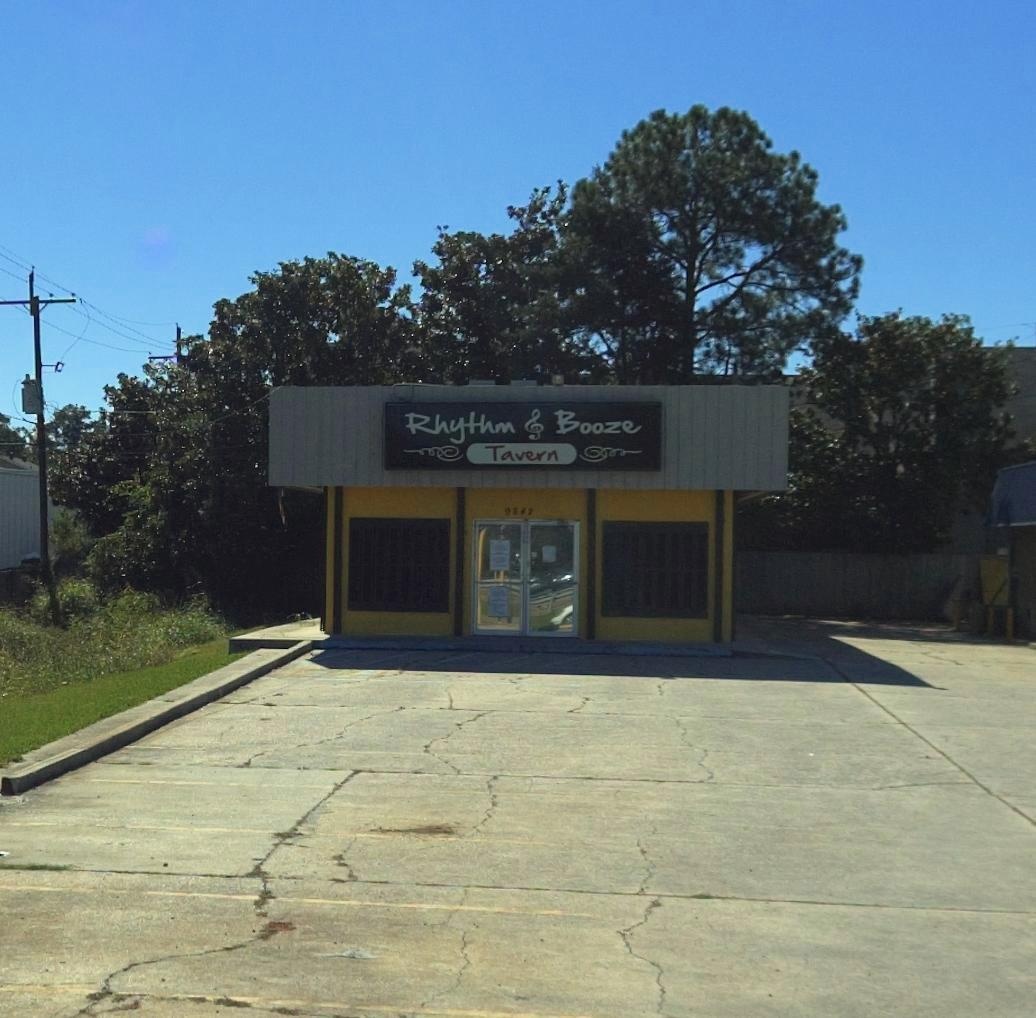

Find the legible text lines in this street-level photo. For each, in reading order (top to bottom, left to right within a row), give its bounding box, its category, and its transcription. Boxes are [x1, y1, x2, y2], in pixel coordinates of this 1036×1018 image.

[402, 405, 646, 447] BusinessName: Rythm * Booze
[482, 443, 561, 463] BusinessName: Tavern
[502, 505, 535, 517] StreetNumber: 9*42